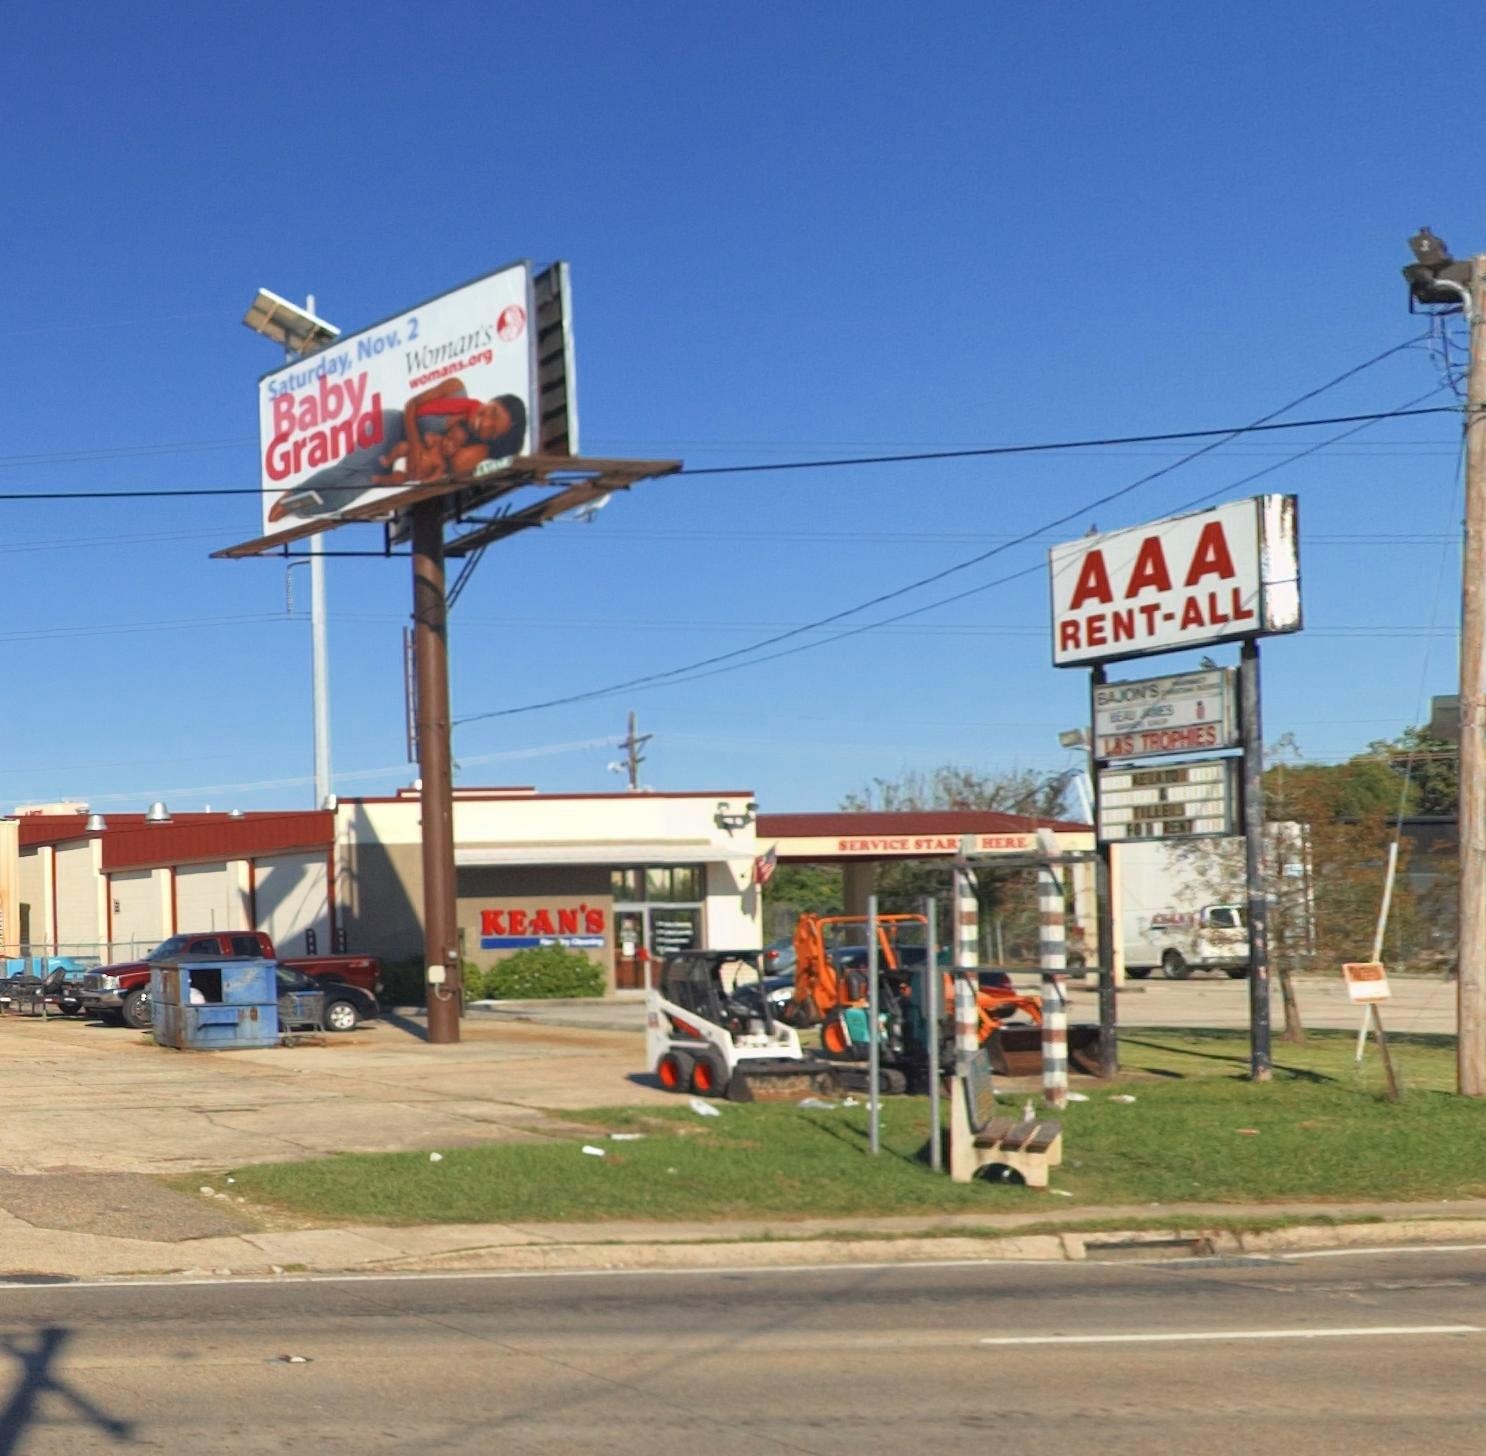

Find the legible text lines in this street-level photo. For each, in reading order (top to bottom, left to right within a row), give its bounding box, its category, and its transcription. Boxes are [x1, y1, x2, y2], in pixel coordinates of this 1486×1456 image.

[265, 310, 425, 408] None: Saturday, Nov. 2
[402, 342, 495, 393] None: womans.org
[401, 316, 499, 380] None: Woman's
[270, 370, 373, 442] None: Baby
[262, 388, 387, 484] None: Grand
[1065, 516, 1240, 614] BusinessName: AAA
[1057, 582, 1256, 655] BusinessName: RENT-ALL
[1095, 681, 1161, 709] BusinessName: BAJON'S
[1107, 701, 1177, 726] None: BEAU JONES
[1102, 724, 1217, 759] None: LAS TROPHIES
[837, 835, 1028, 852] None: SERVICE STAR*HERE
[1130, 801, 1189, 821] None: TILLERS
[1123, 818, 1199, 839] None: FOR RENT
[479, 900, 607, 938] BusinessName: KEAN'S